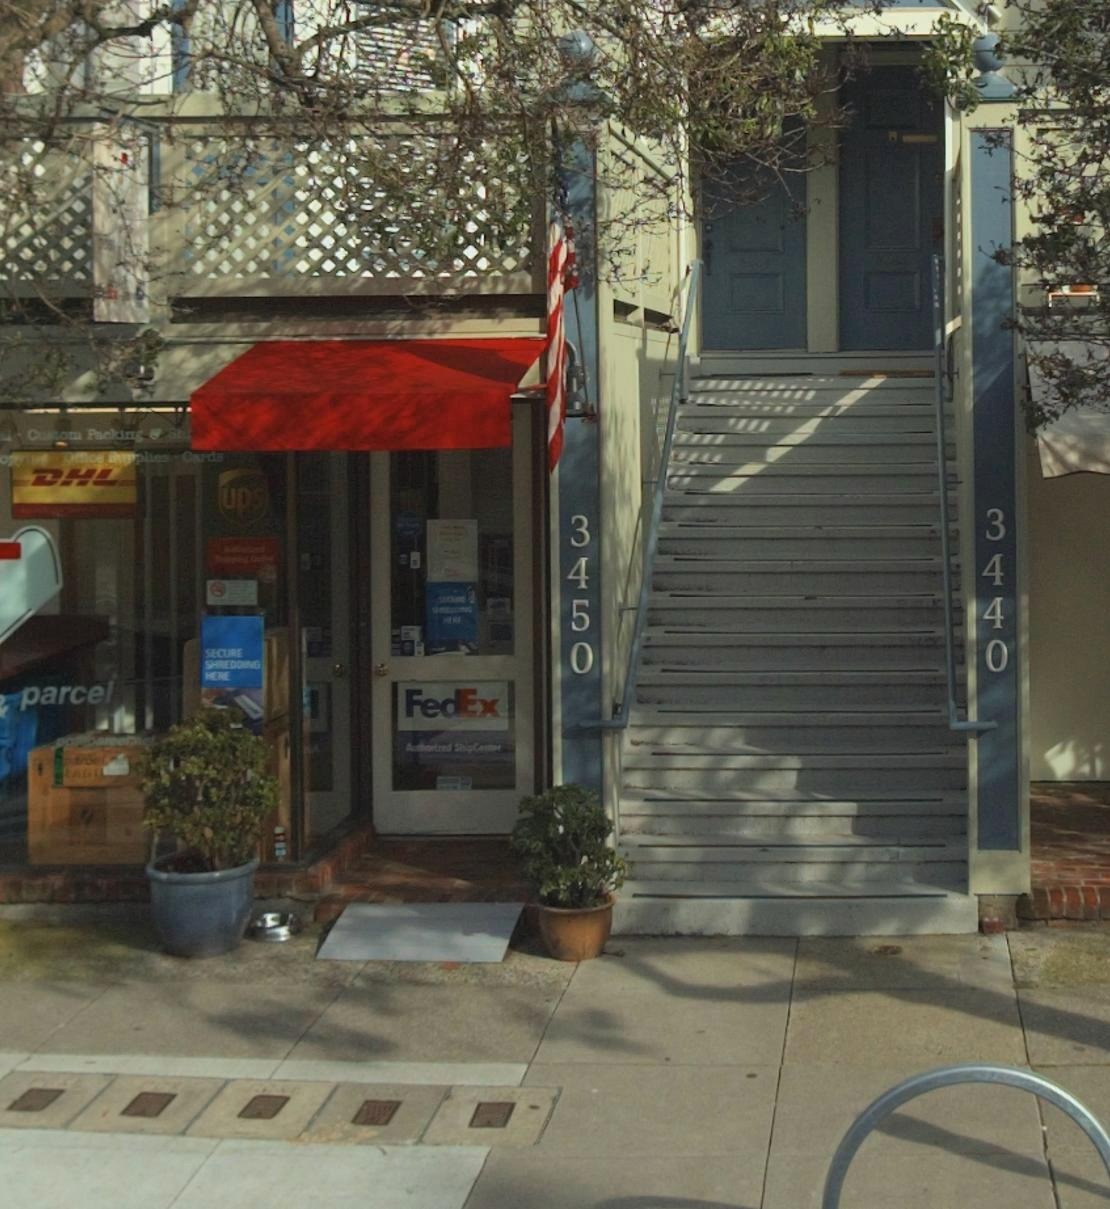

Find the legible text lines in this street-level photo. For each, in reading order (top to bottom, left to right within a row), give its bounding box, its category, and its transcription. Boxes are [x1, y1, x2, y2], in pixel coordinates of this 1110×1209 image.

[24, 425, 188, 446] None: Custom Packing & Sh
[135, 448, 226, 469] None: plies * Cards
[23, 465, 121, 490] None: DHL
[220, 485, 265, 520] None: ups
[563, 511, 596, 679] StreetNumber: 3450
[978, 498, 1009, 676] StreetNumber: 3440
[203, 646, 245, 660] None: SECURE
[15, 678, 118, 713] None: parcel
[403, 686, 503, 721] None: FedEx